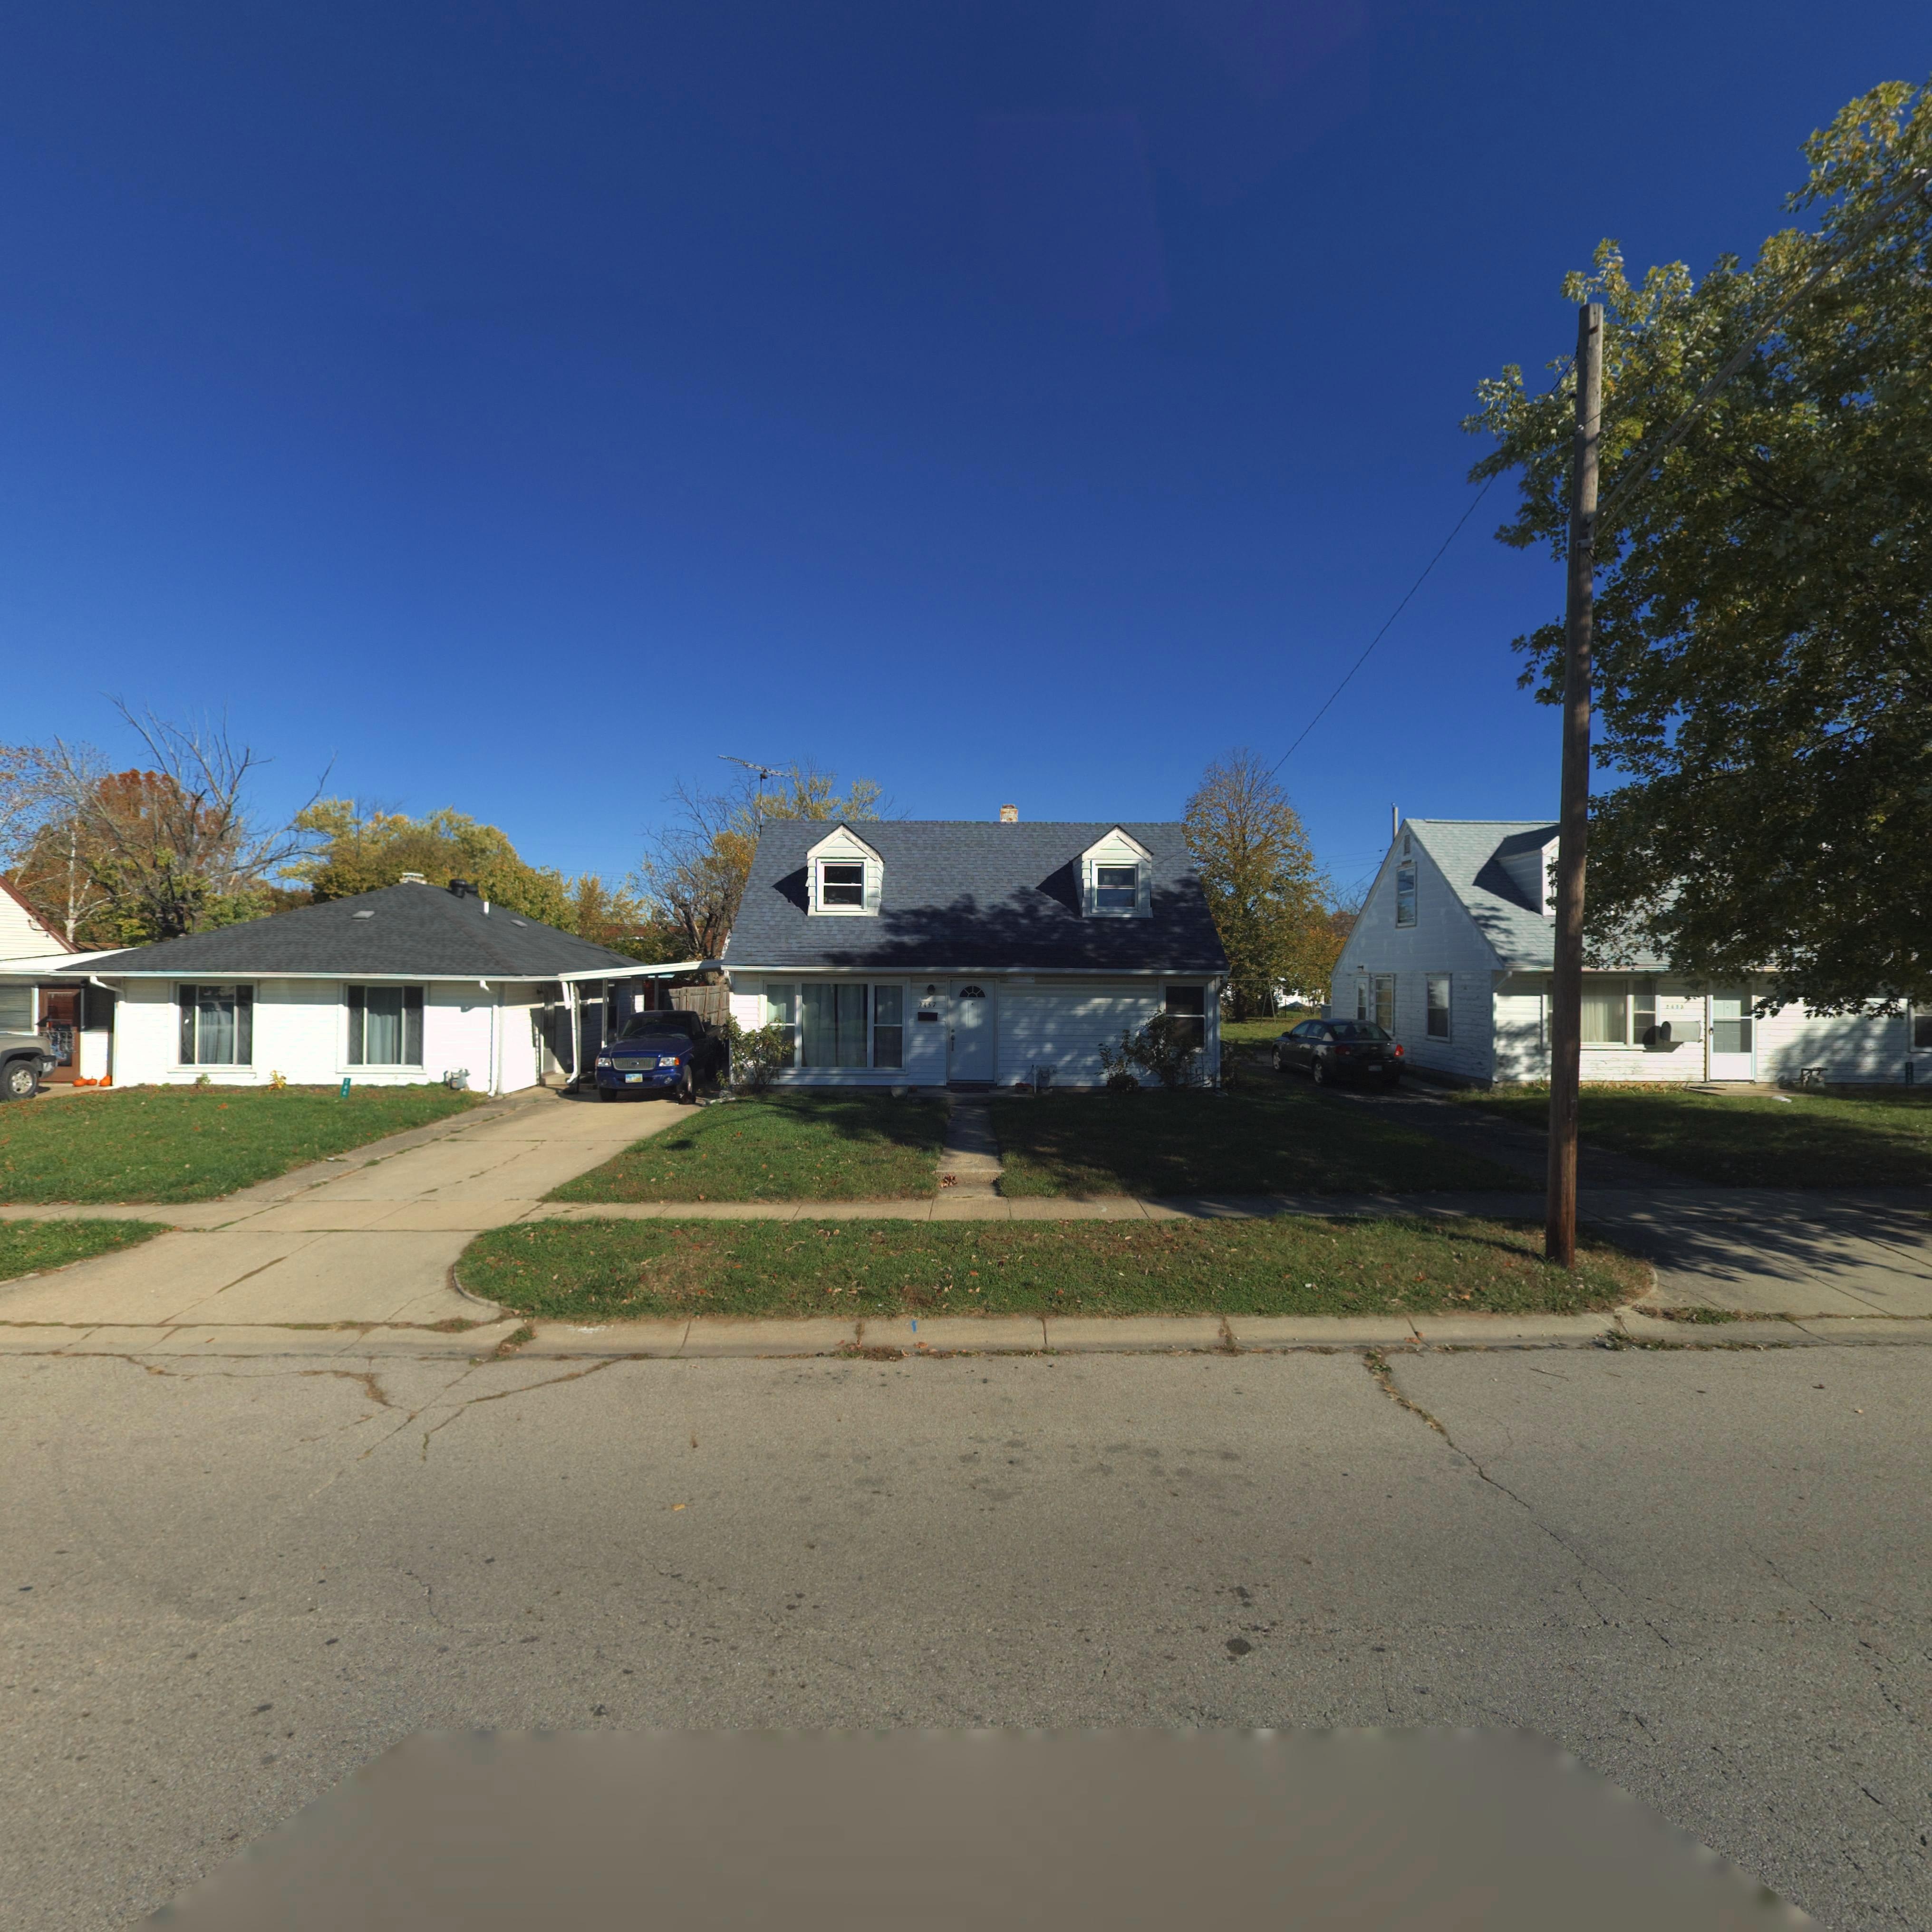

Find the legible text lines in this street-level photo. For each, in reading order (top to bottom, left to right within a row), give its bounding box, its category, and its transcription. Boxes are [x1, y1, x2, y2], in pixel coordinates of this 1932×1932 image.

[918, 1001, 937, 1009] StreetNumber: 2457
[1664, 1004, 1684, 1010] StreetNumber: 24**
[340, 1077, 351, 1097] StreetNumber: 246